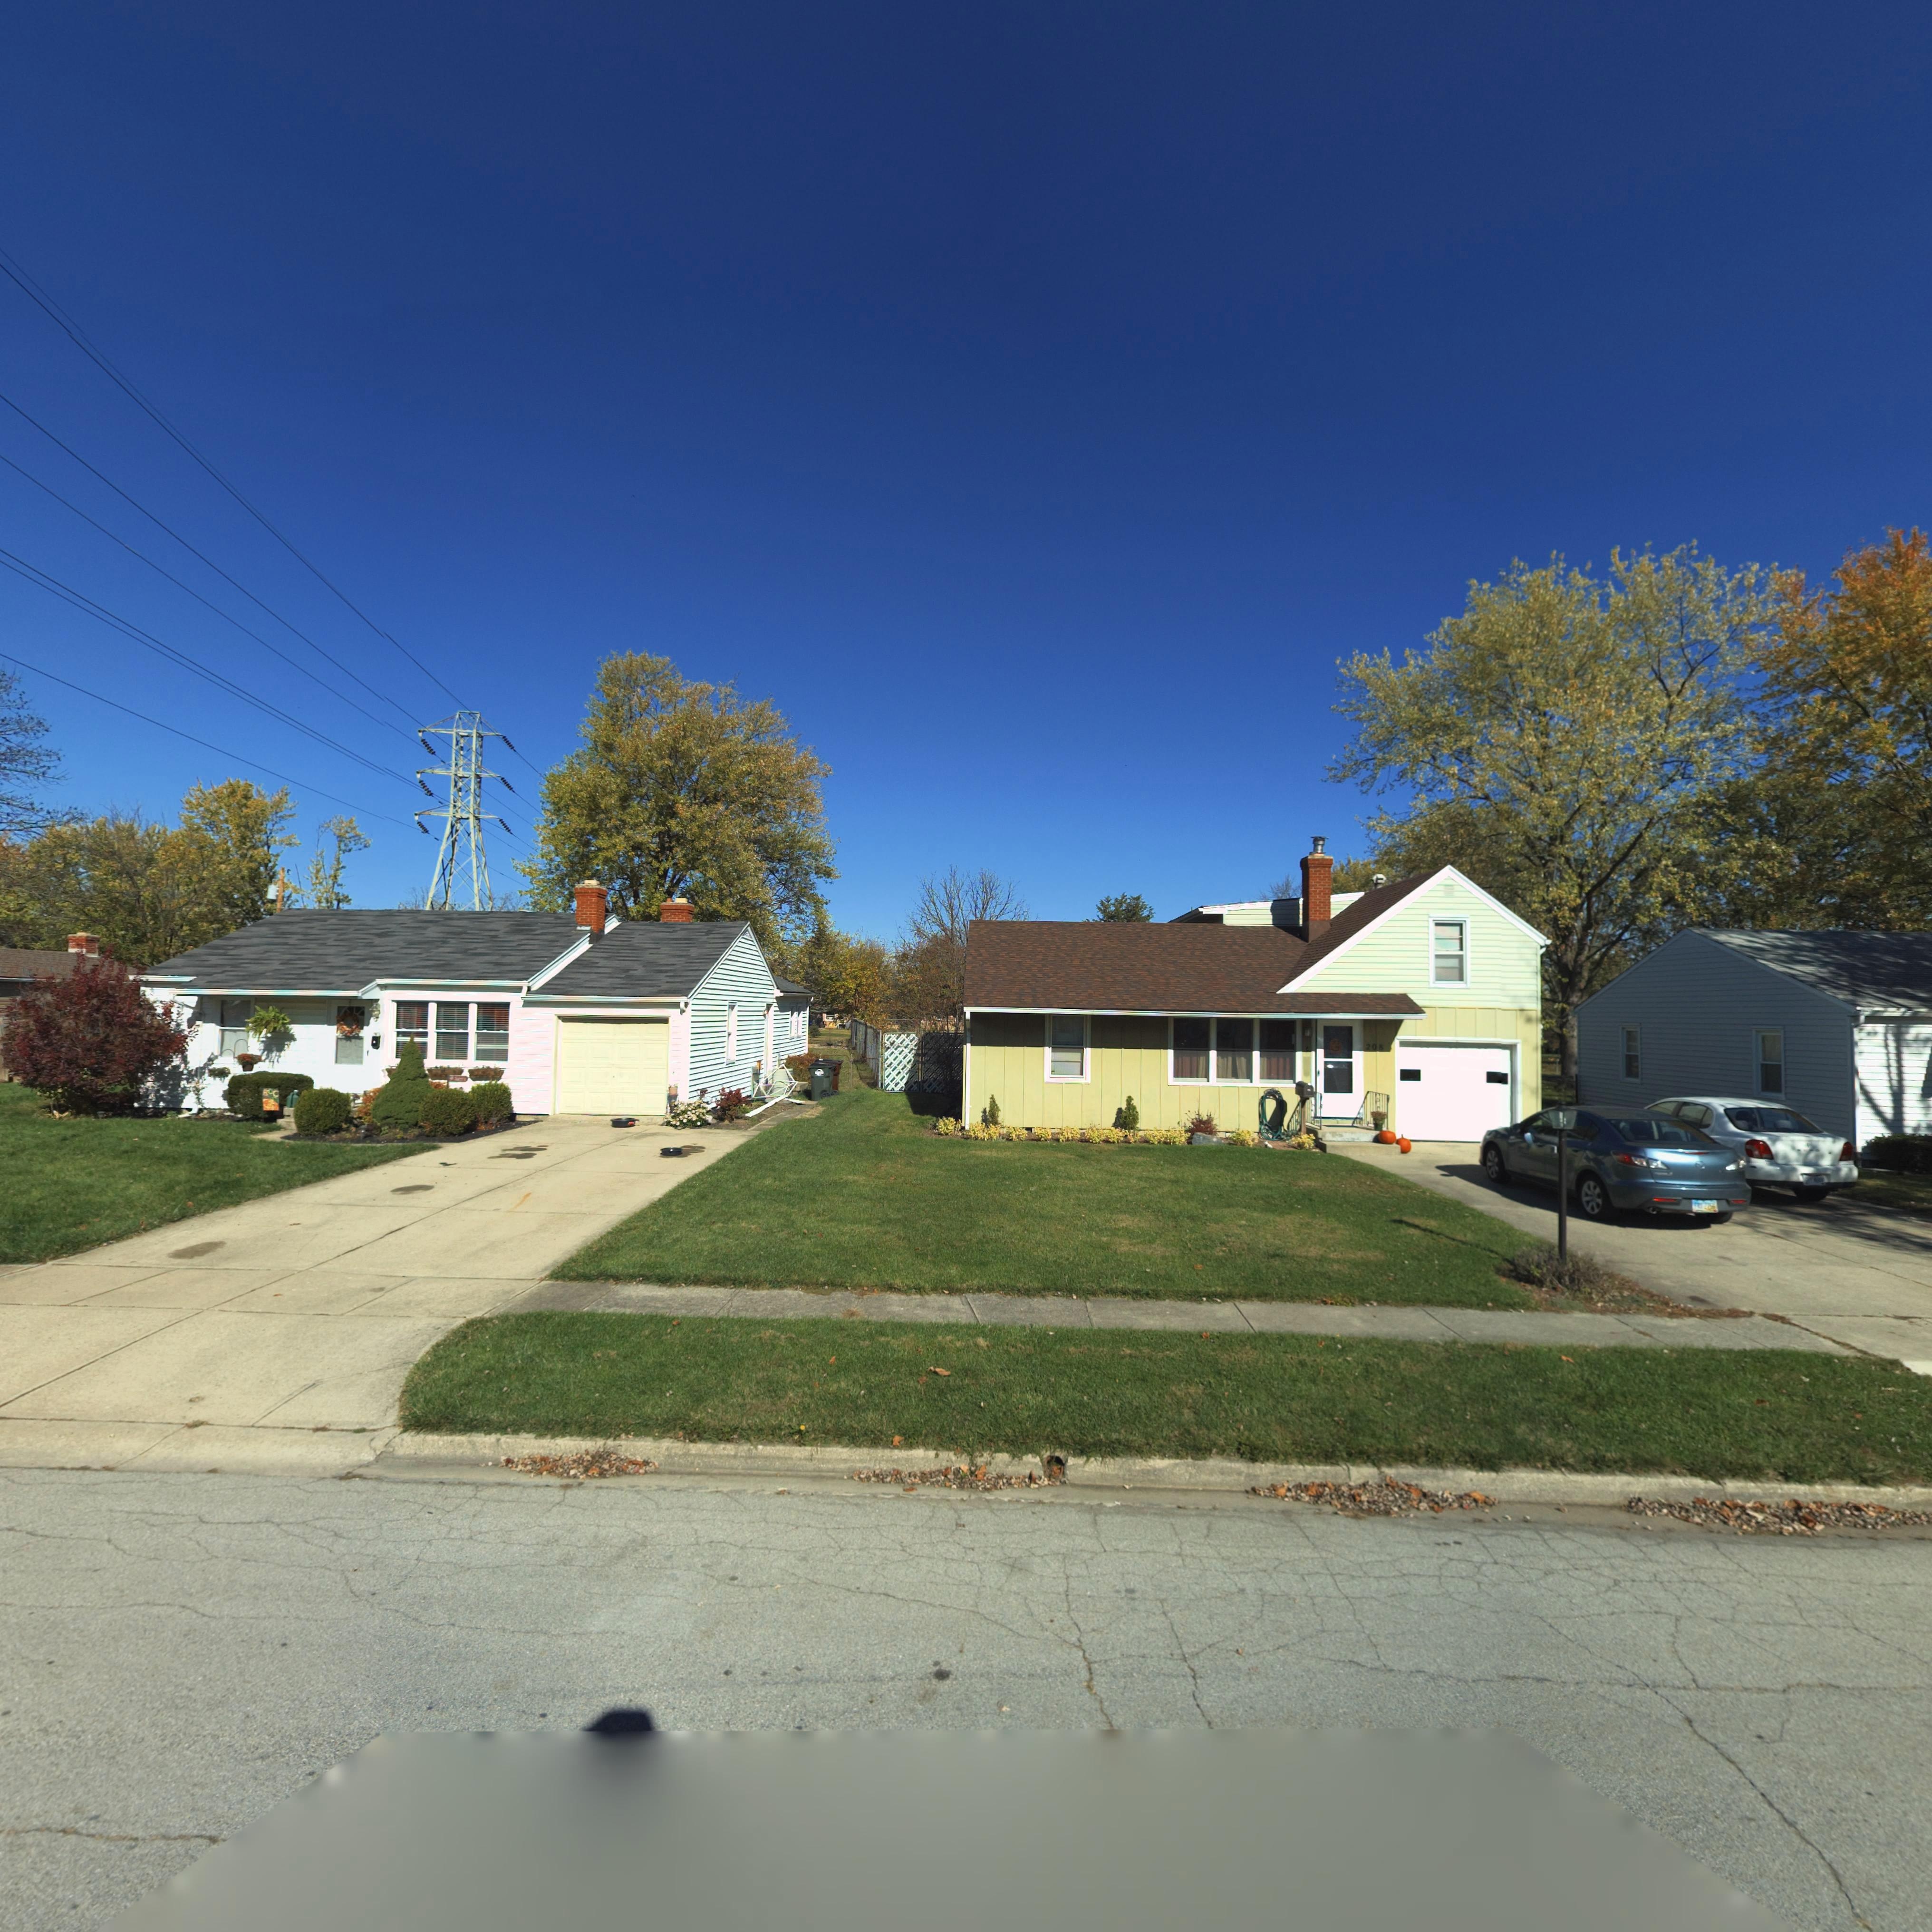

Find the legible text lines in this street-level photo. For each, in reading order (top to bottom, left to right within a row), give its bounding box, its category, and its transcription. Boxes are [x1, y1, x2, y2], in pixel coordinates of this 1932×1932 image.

[1364, 1042, 1385, 1052] StreetNumber: 20*